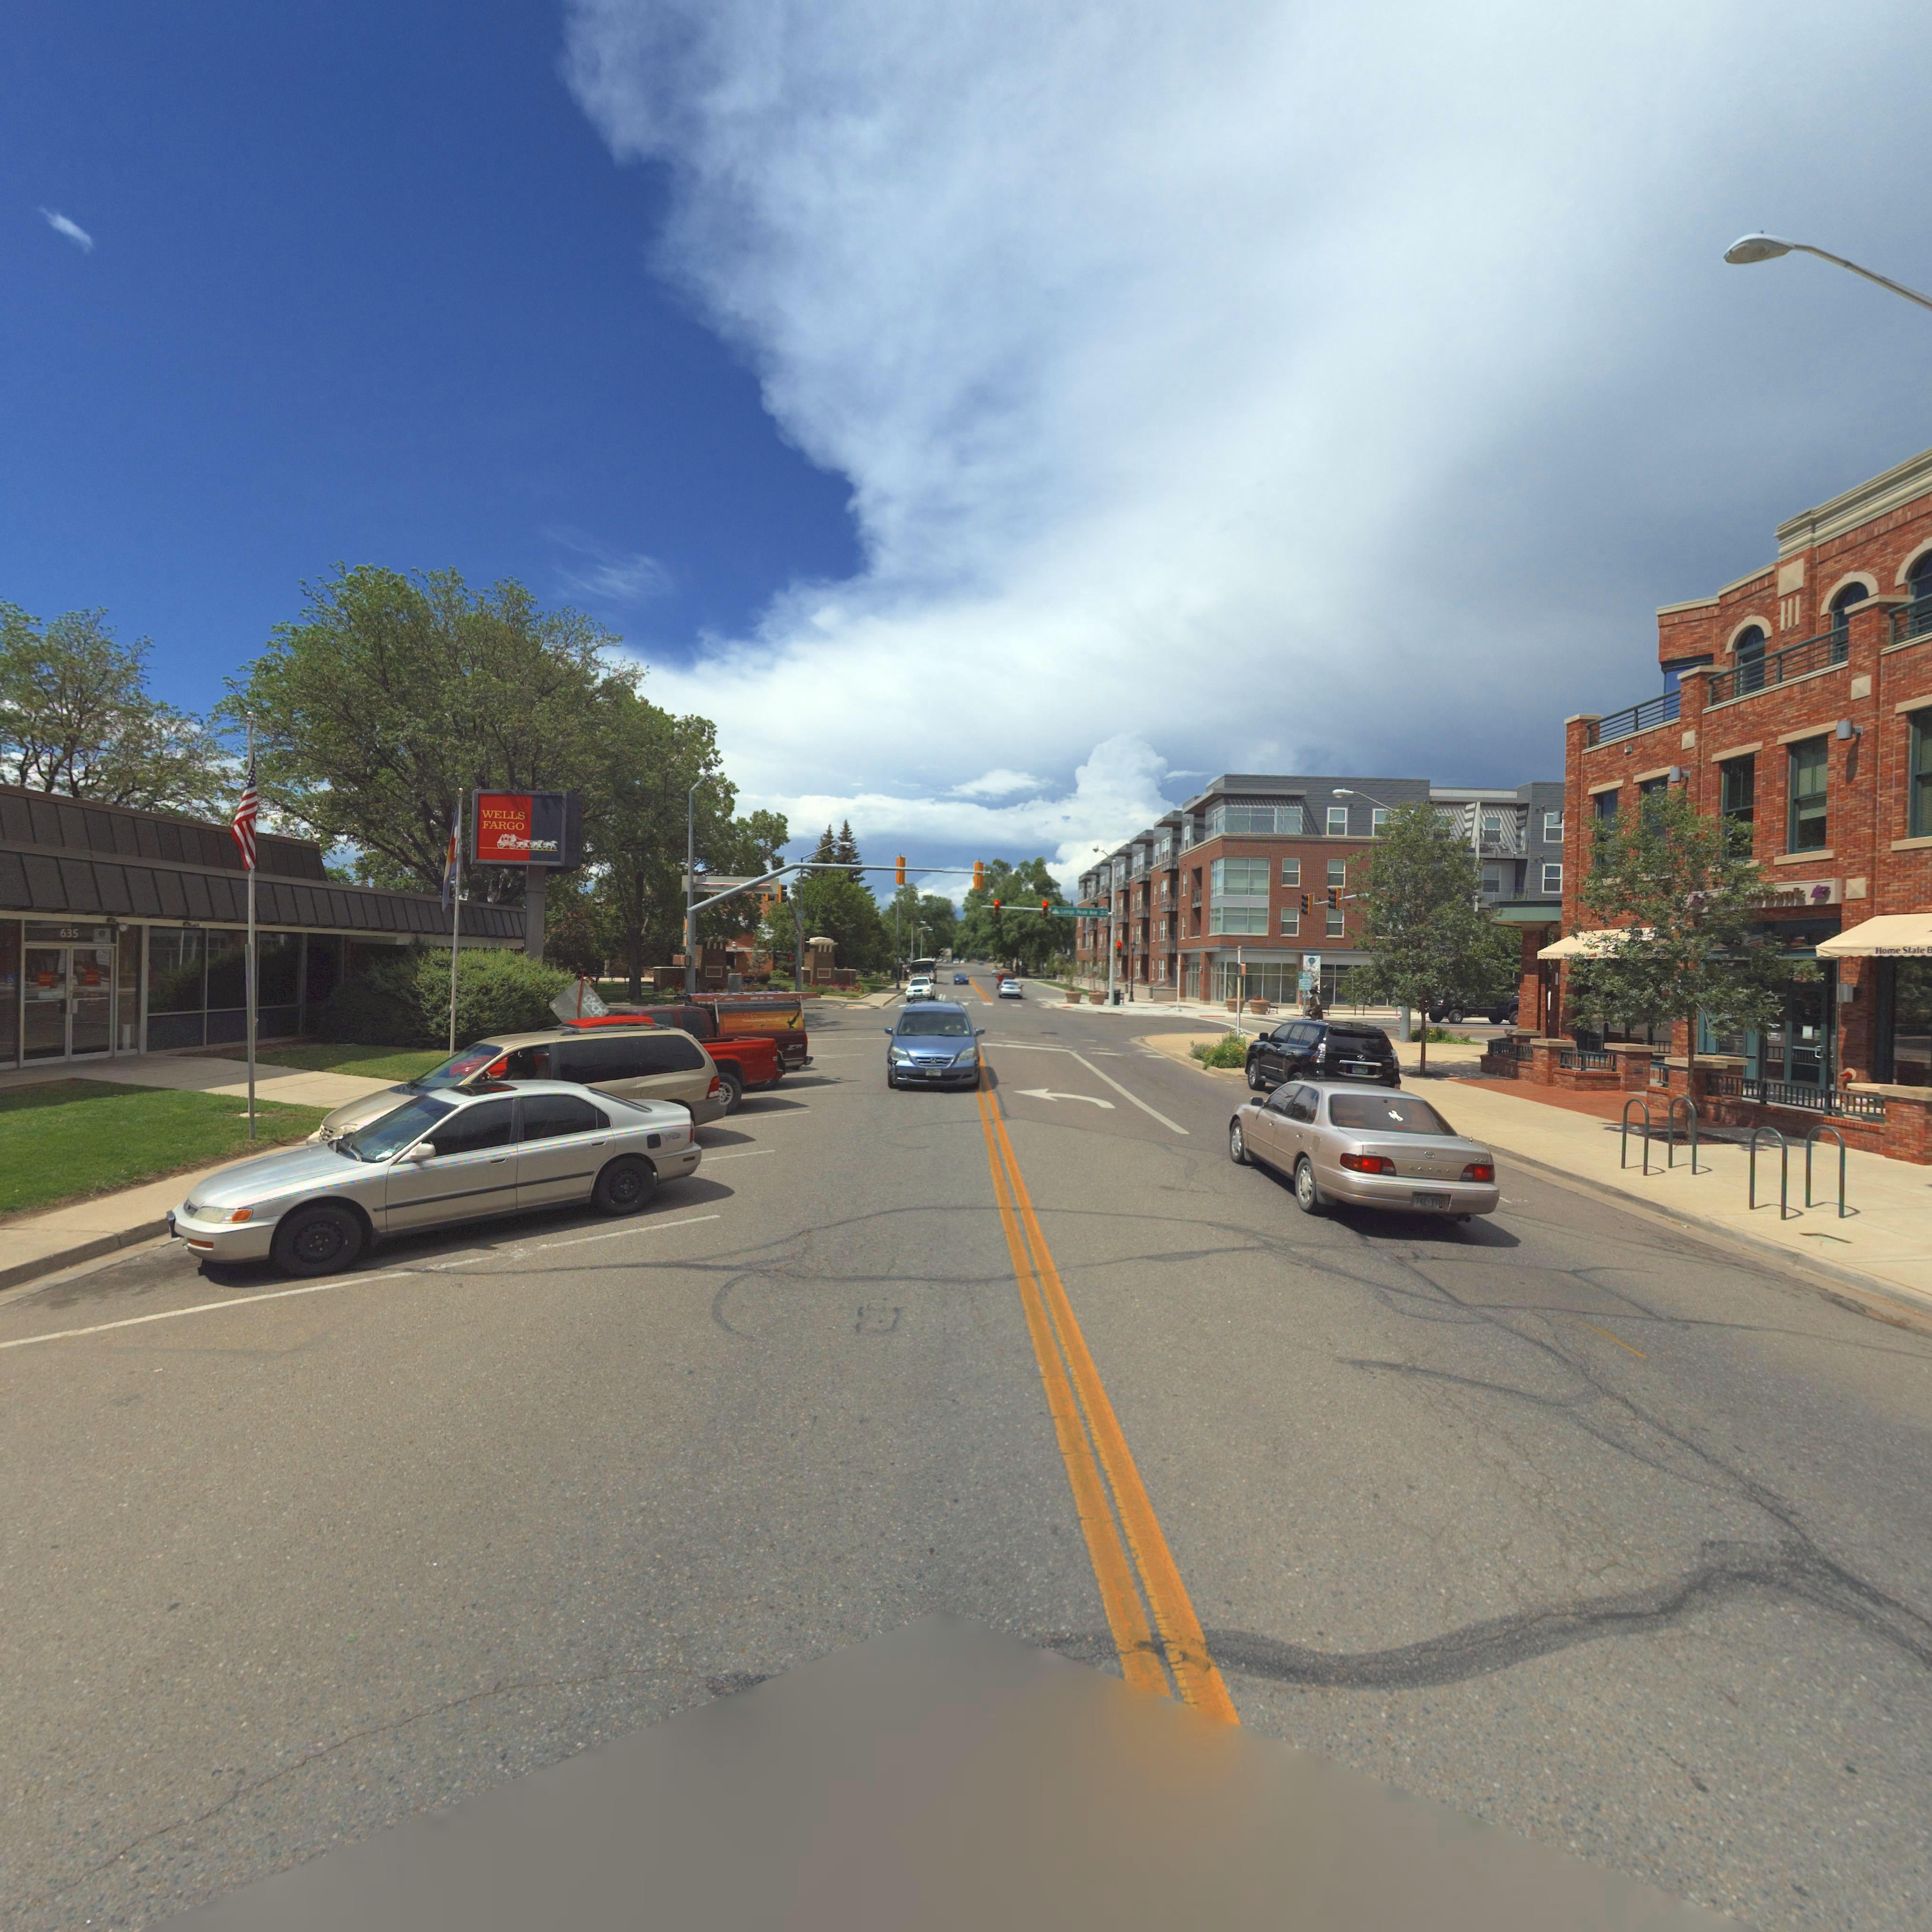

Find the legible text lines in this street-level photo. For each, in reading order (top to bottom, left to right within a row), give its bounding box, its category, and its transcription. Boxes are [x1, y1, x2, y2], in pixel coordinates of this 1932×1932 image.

[481, 809, 525, 820] BusinessName:  WELLS
[482, 820, 525, 831] BusinessName: FARGO
[1709, 887, 1806, 907] BusinessName: **** ***te Bank
[1060, 908, 1098, 916] StreetName: Longs Peak Ave
[59, 928, 79, 938] StreetNumber: 635
[1563, 952, 1598, 957] BusinessName: Ho** S**** B**k
[1875, 946, 1925, 954] BusinessName: Home State